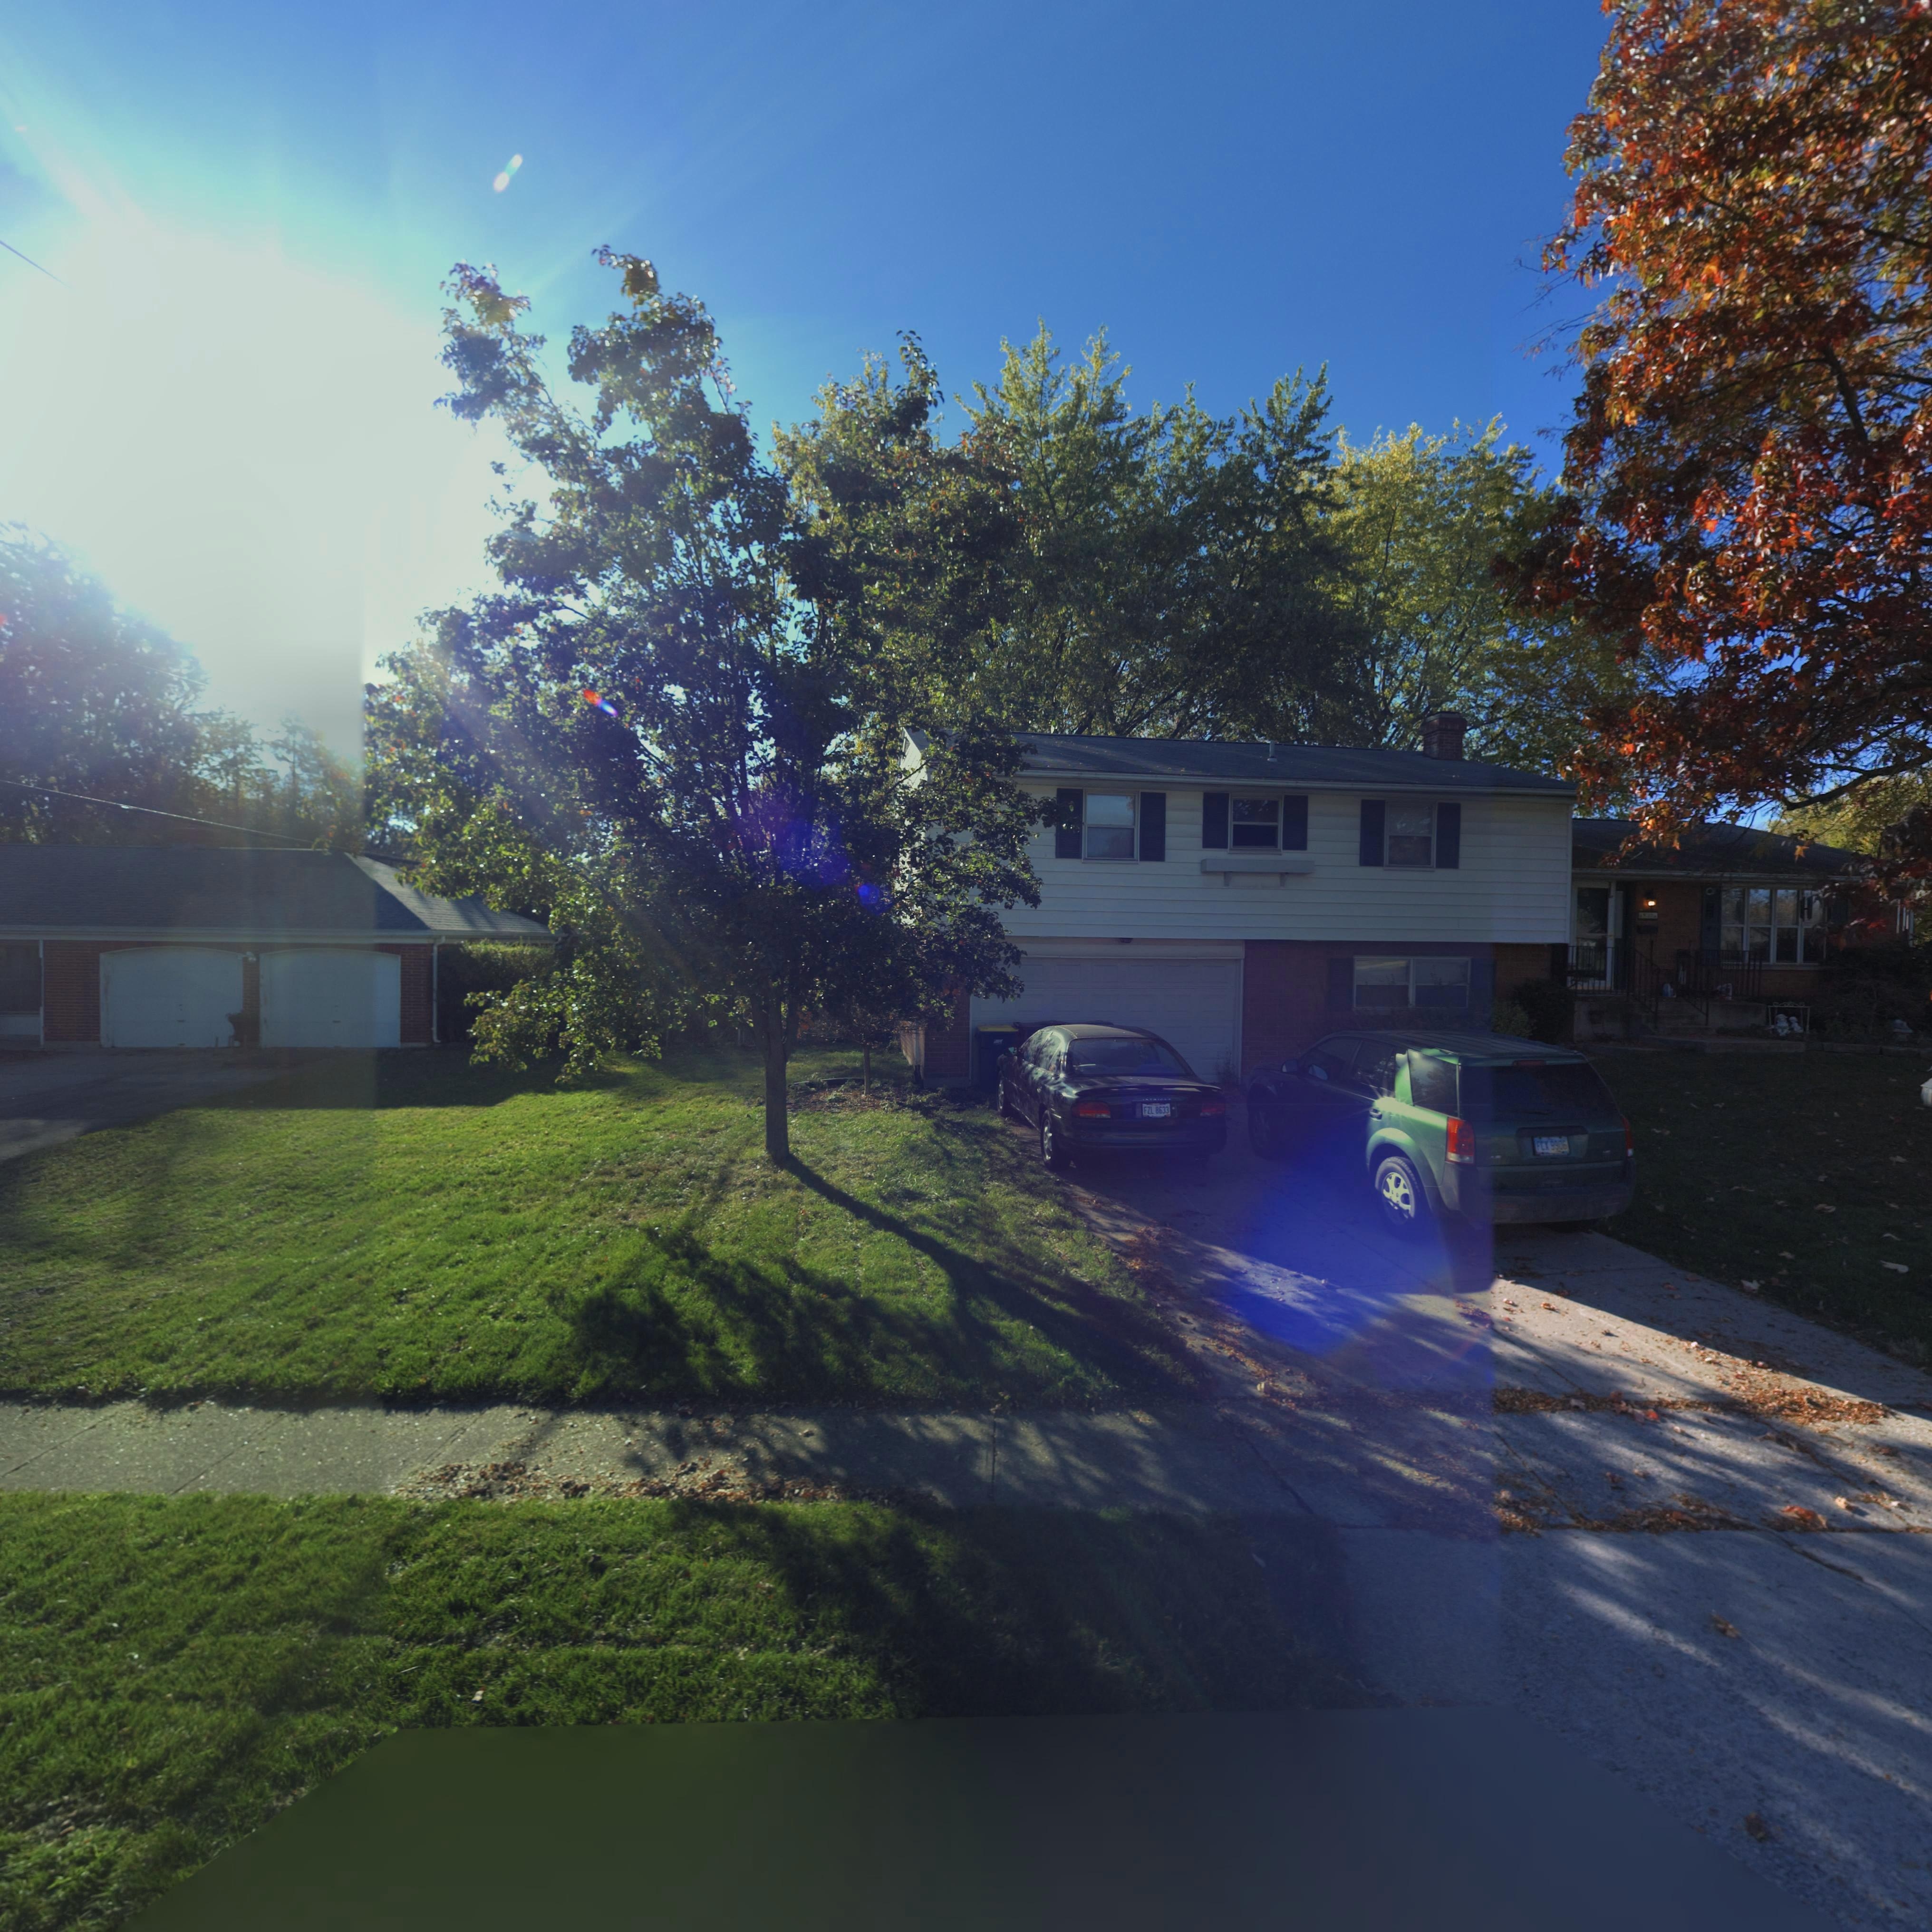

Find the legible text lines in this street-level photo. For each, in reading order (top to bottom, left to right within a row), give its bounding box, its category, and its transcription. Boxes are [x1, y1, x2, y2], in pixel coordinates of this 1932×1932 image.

[1639, 912, 1653, 918] StreetNumber: 69**